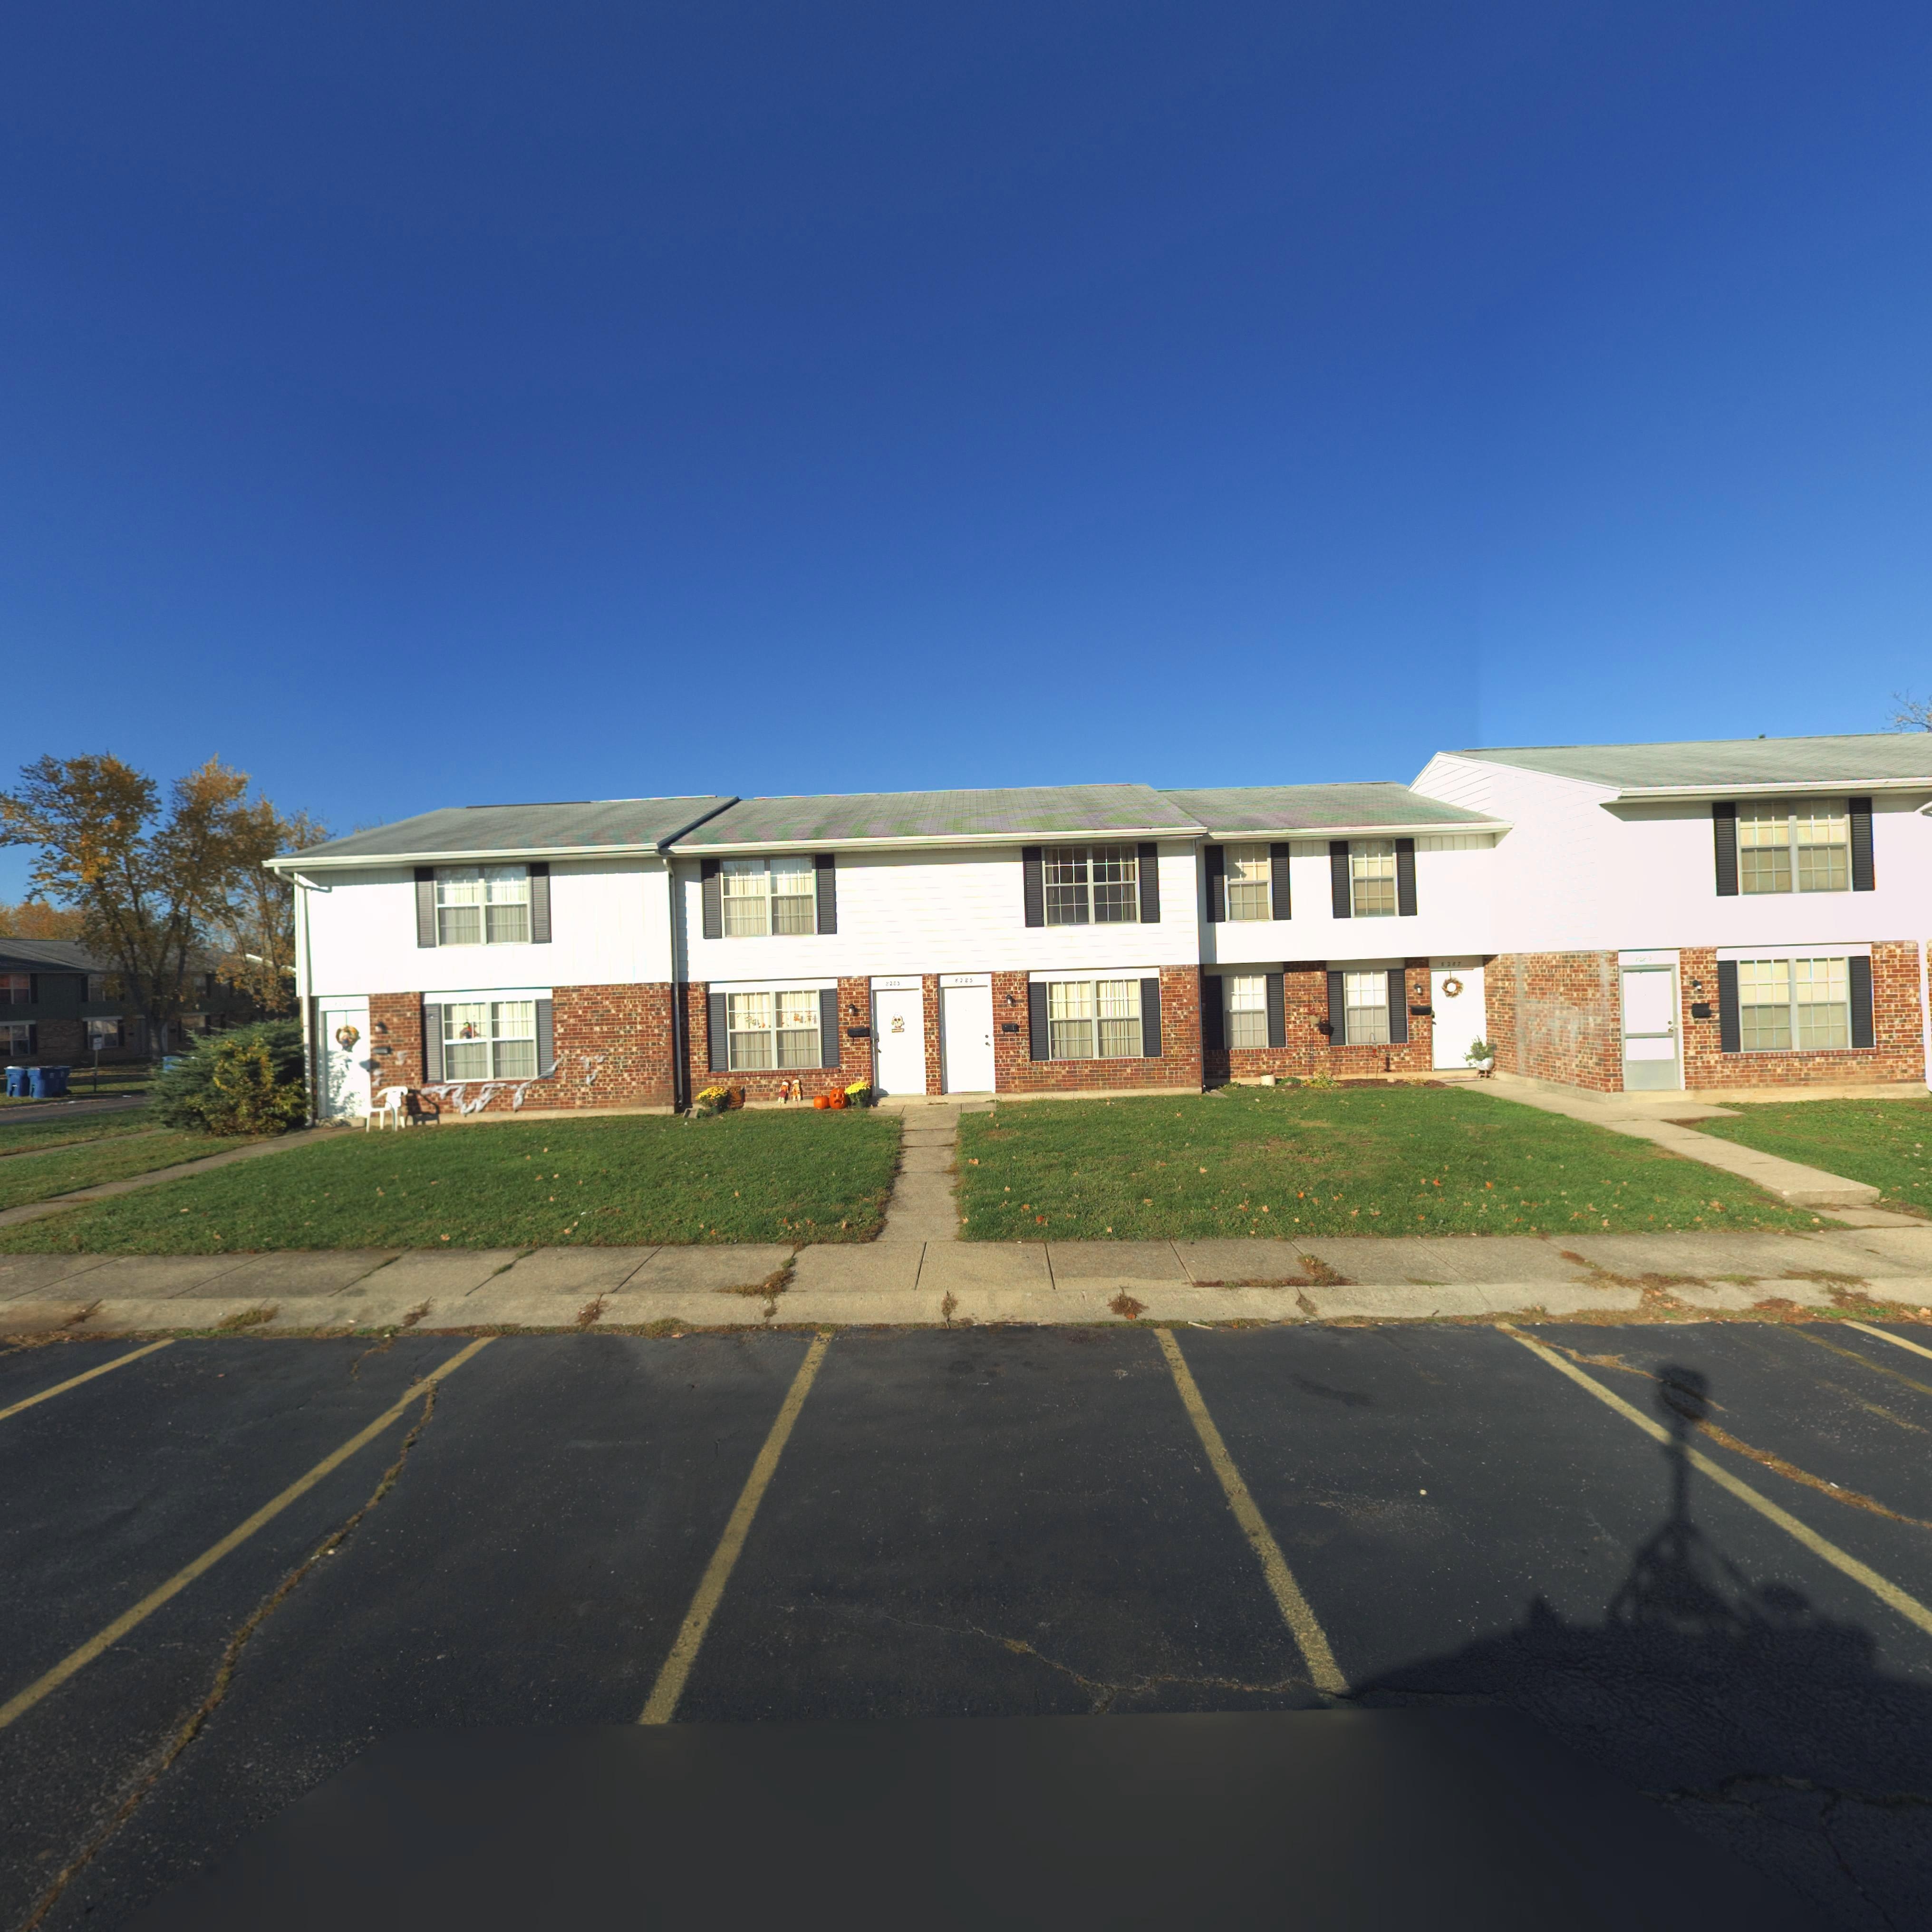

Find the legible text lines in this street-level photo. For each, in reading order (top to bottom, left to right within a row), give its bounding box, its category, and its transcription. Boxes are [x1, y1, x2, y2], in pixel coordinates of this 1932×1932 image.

[1634, 956, 1653, 963] StreetNumber: *2*9
[1440, 961, 1462, 967] StreetNumber: 8287
[885, 981, 900, 986] StreetNumber: 8283
[955, 978, 973, 984] StreetNumber: 8285